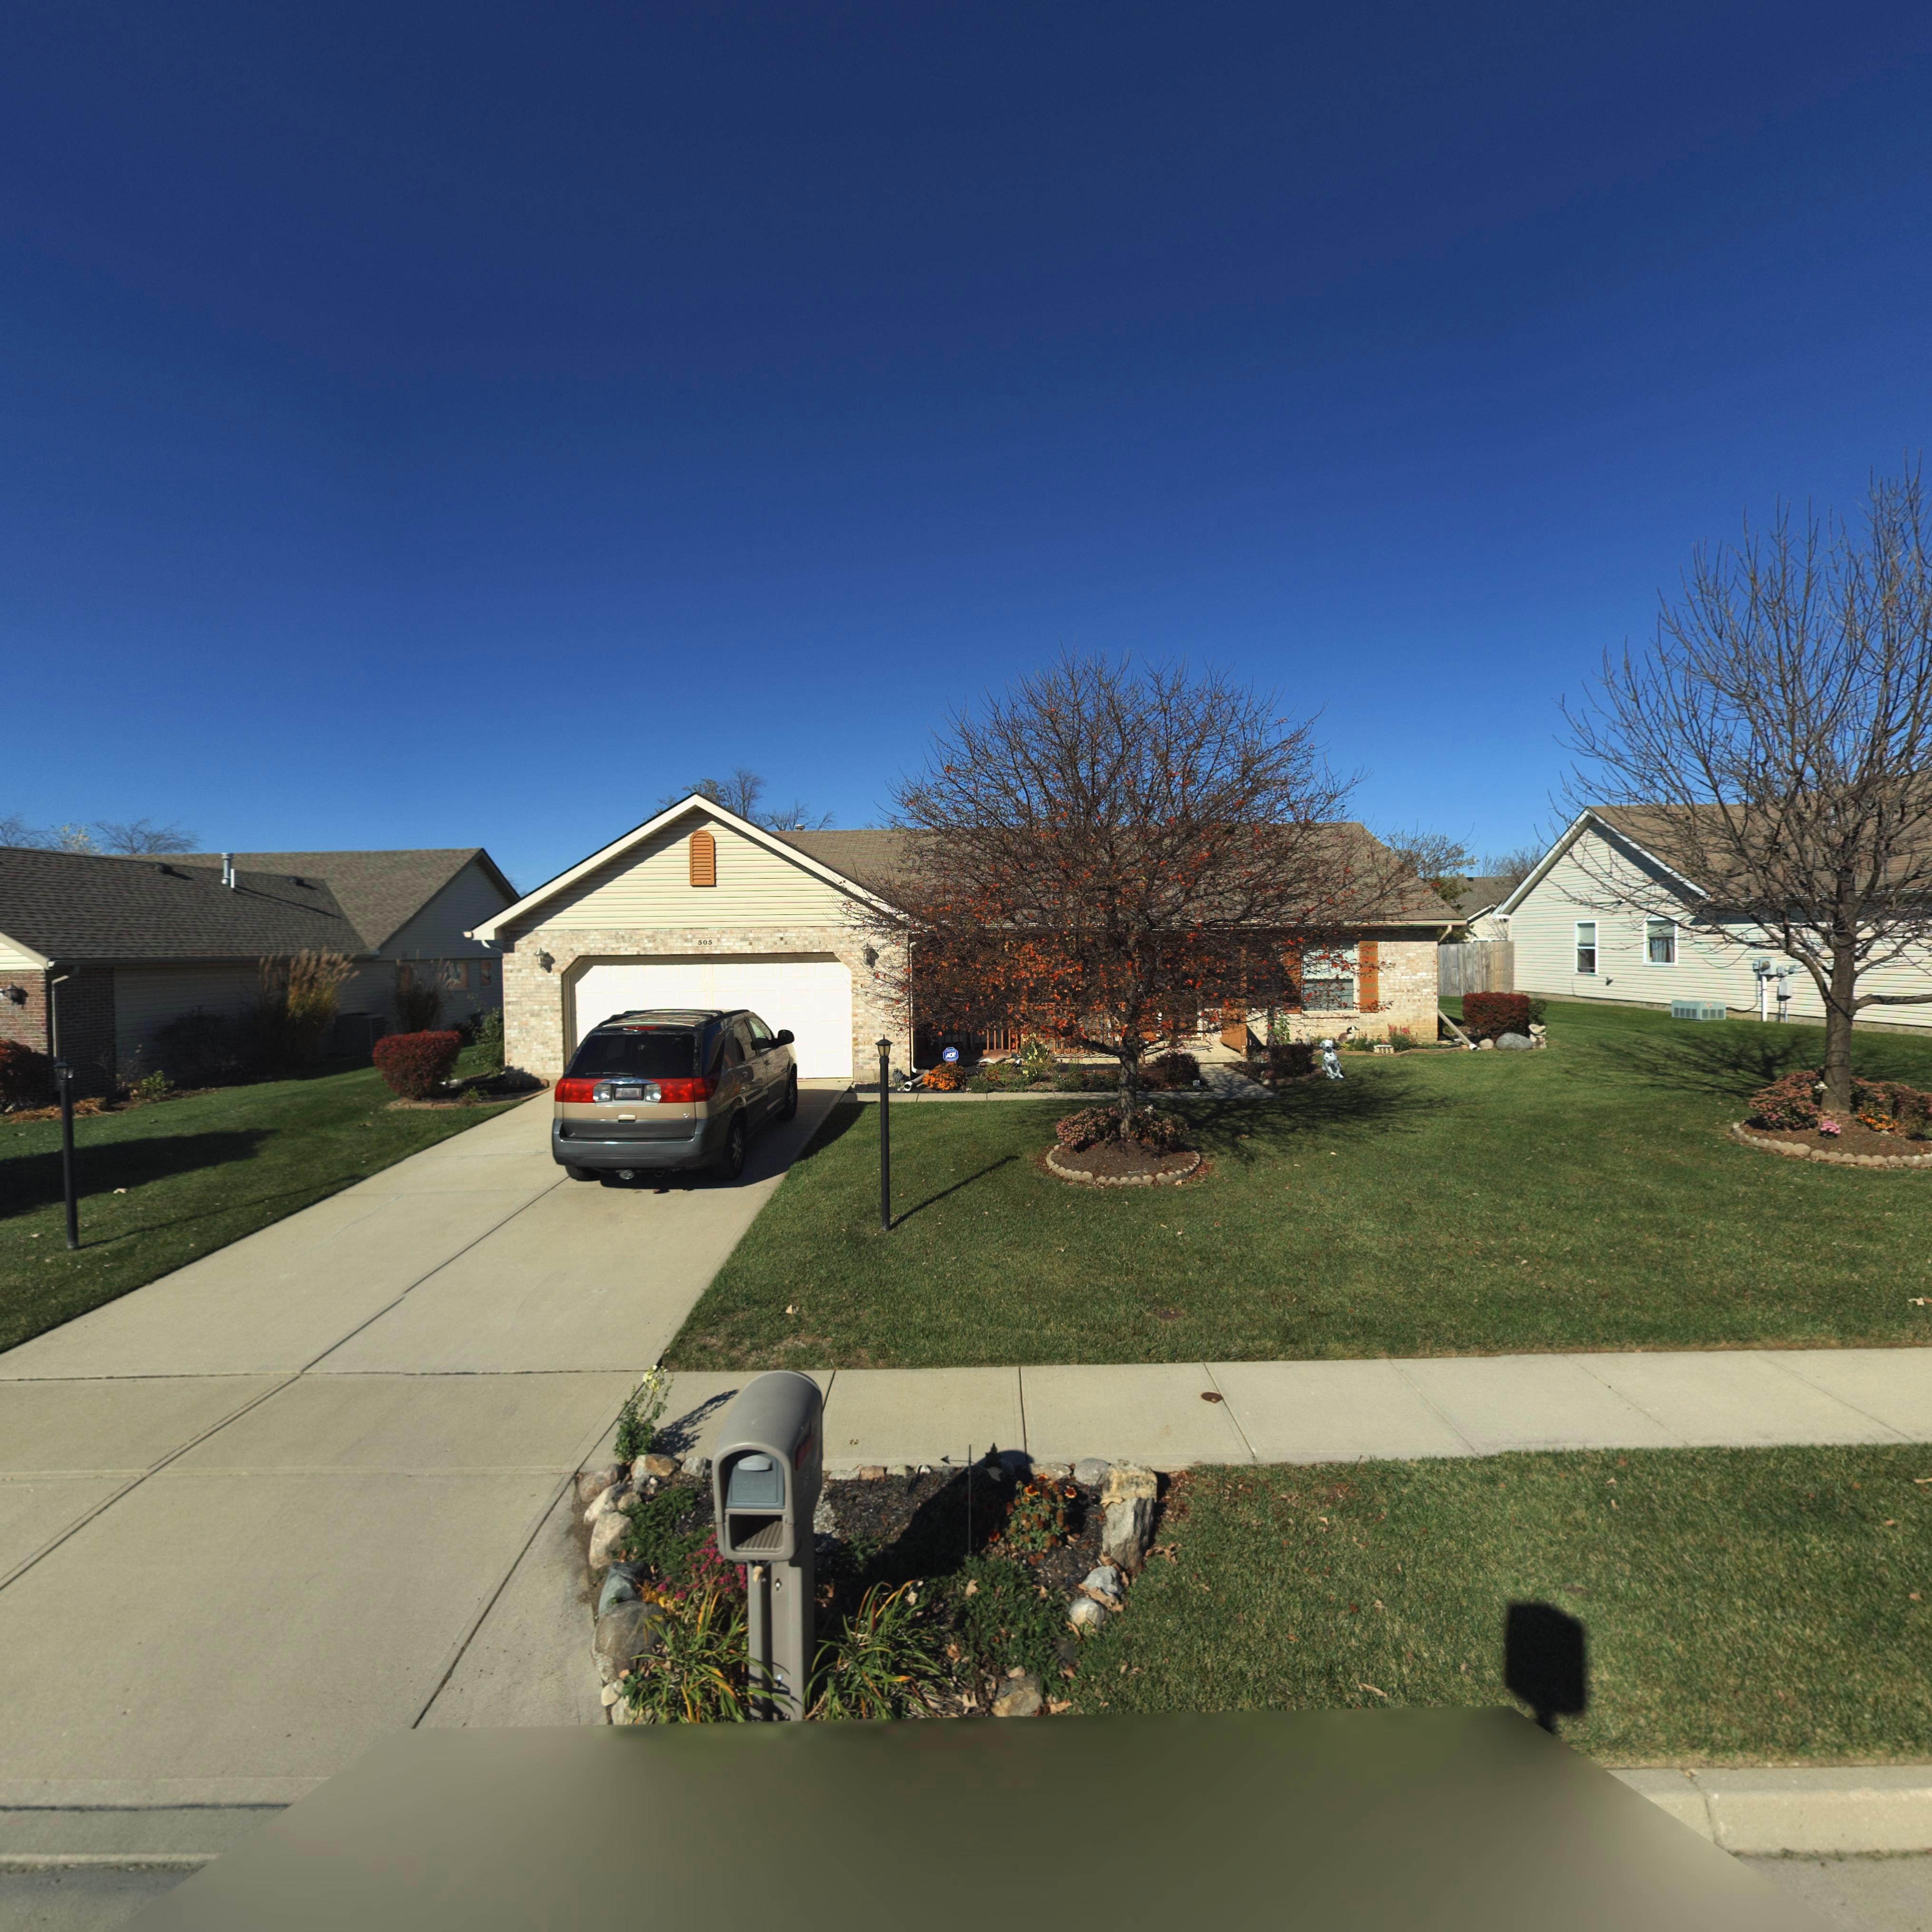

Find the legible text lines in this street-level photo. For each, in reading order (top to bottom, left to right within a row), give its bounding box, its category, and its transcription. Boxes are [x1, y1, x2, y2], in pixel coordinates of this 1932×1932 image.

[697, 939, 714, 946] StreetNumber: 505
[1378, 1047, 1391, 1054] StreetNumber: 505